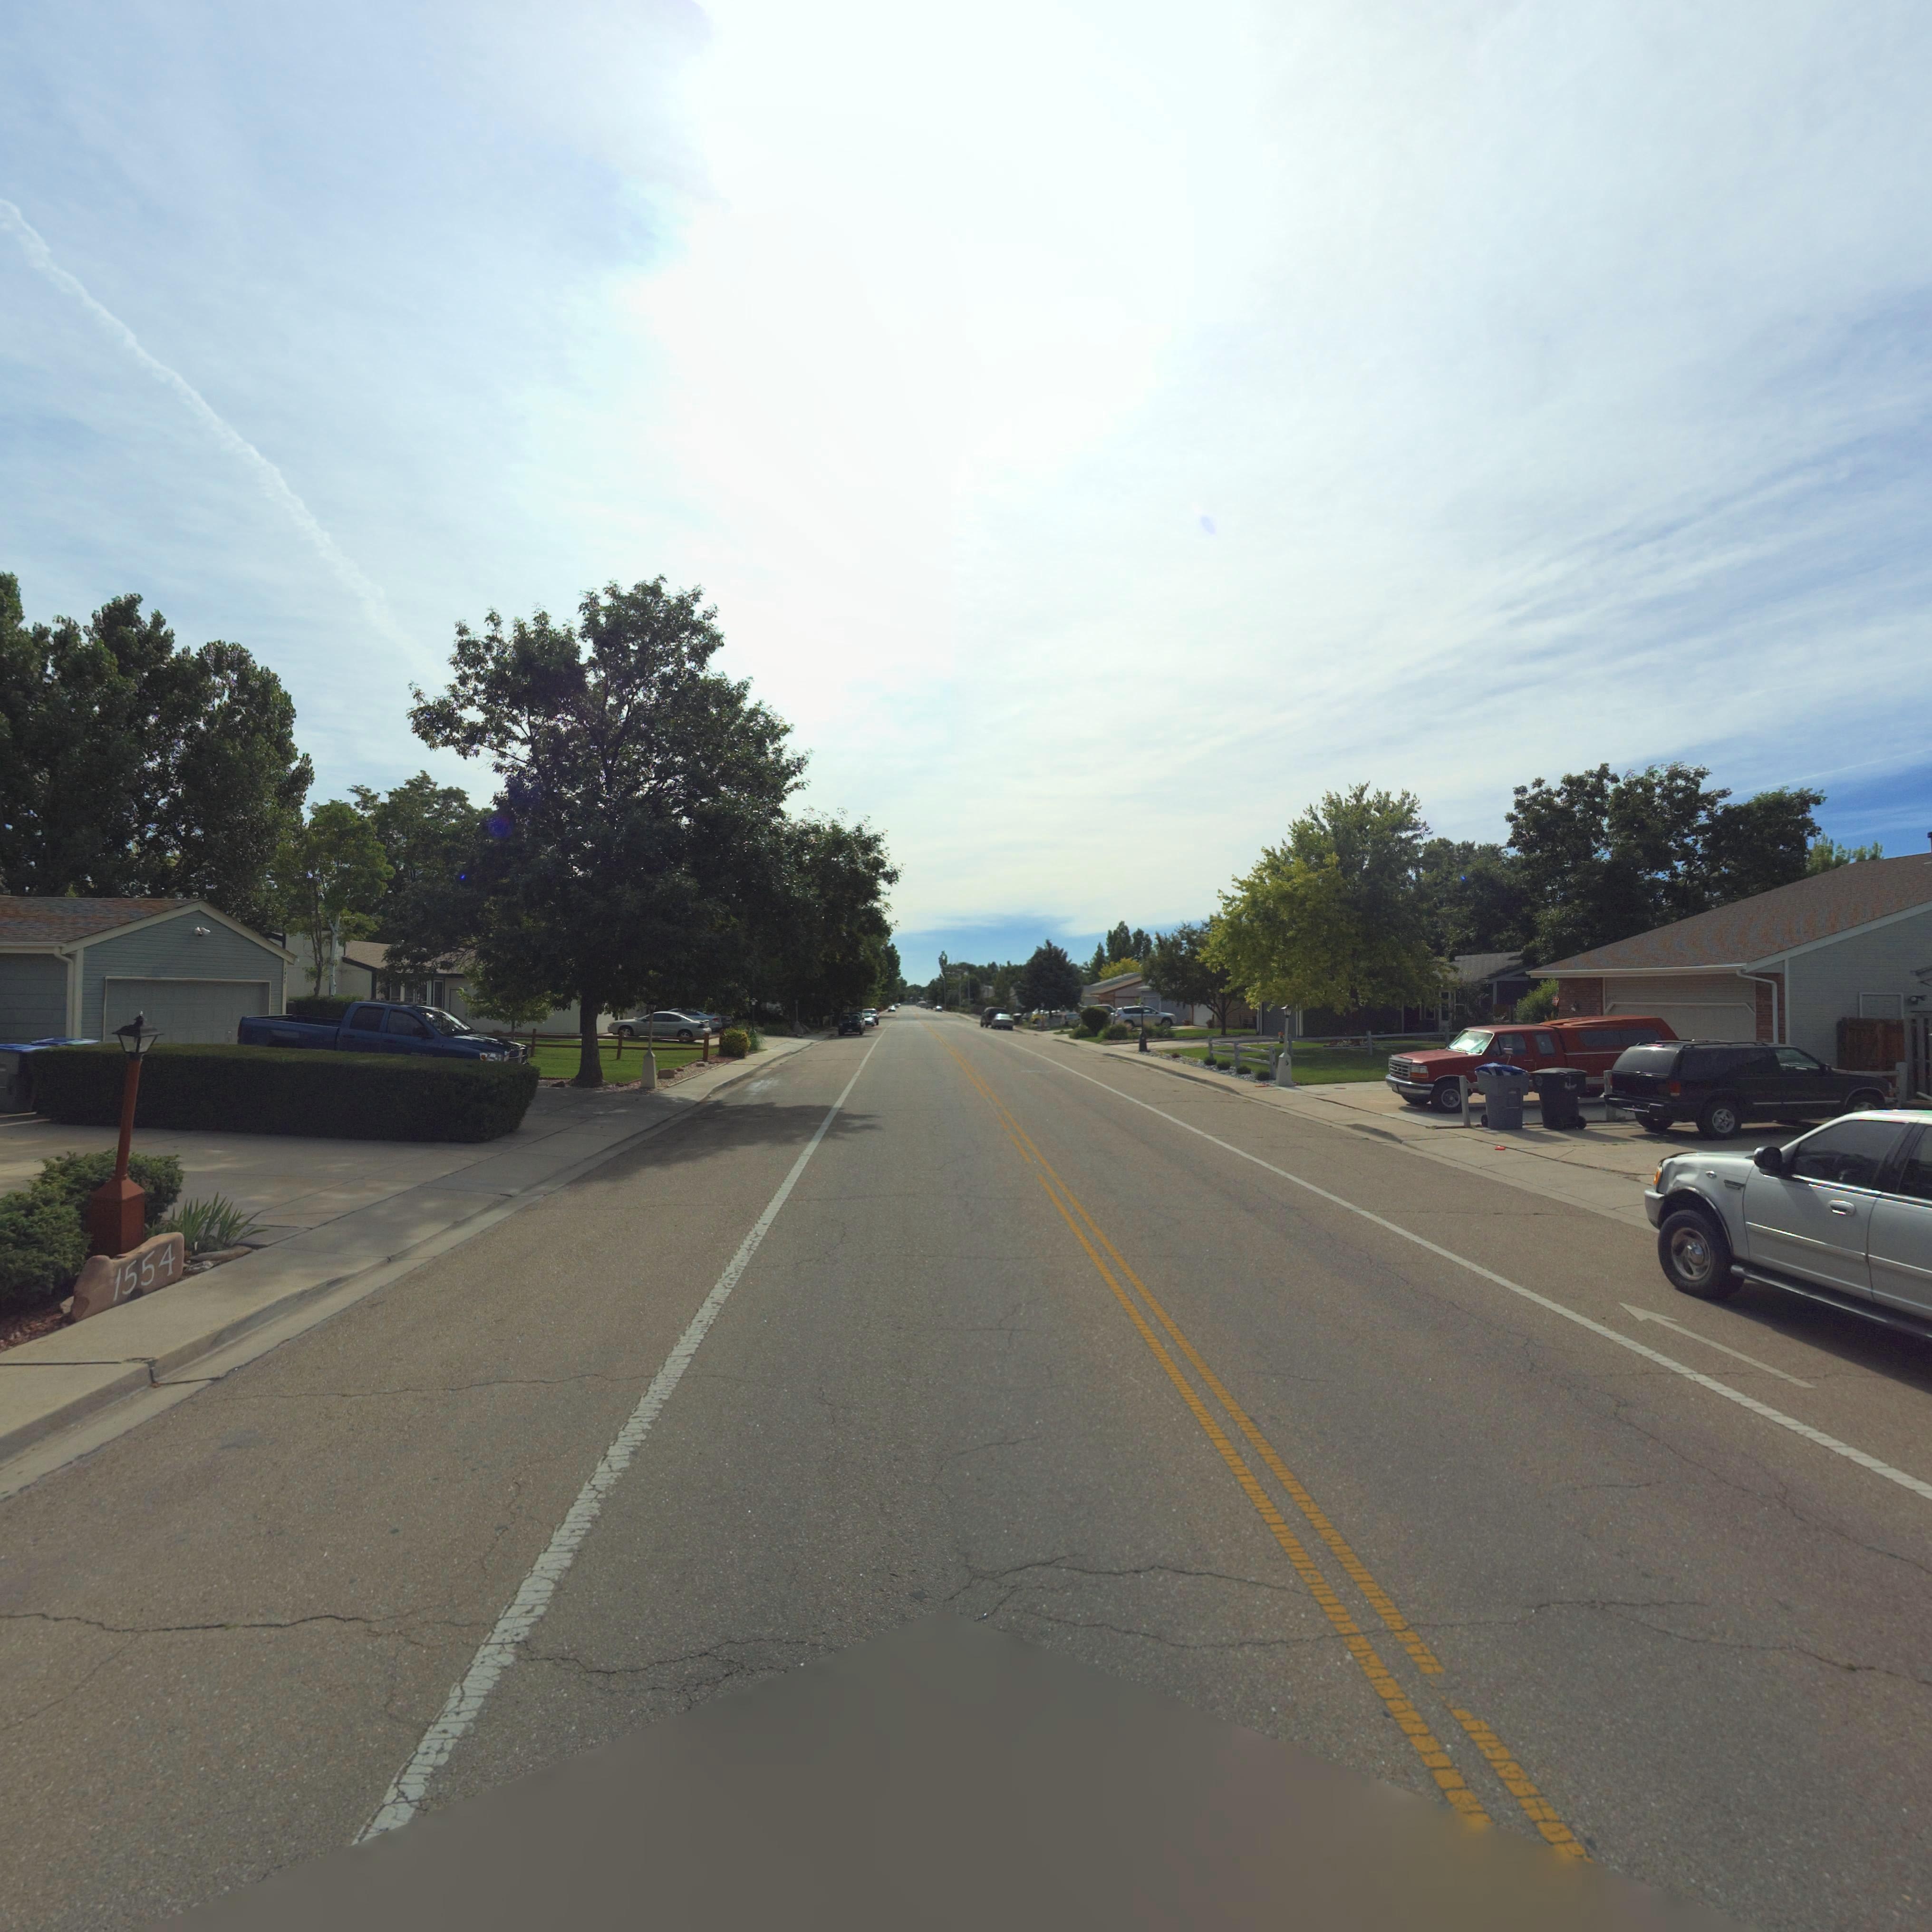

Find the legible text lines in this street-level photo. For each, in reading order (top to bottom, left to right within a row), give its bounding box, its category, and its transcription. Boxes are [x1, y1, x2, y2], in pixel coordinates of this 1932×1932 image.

[283, 967, 287, 984] StreetNumber: 1***
[112, 1242, 176, 1301] StreetNumber: 1554